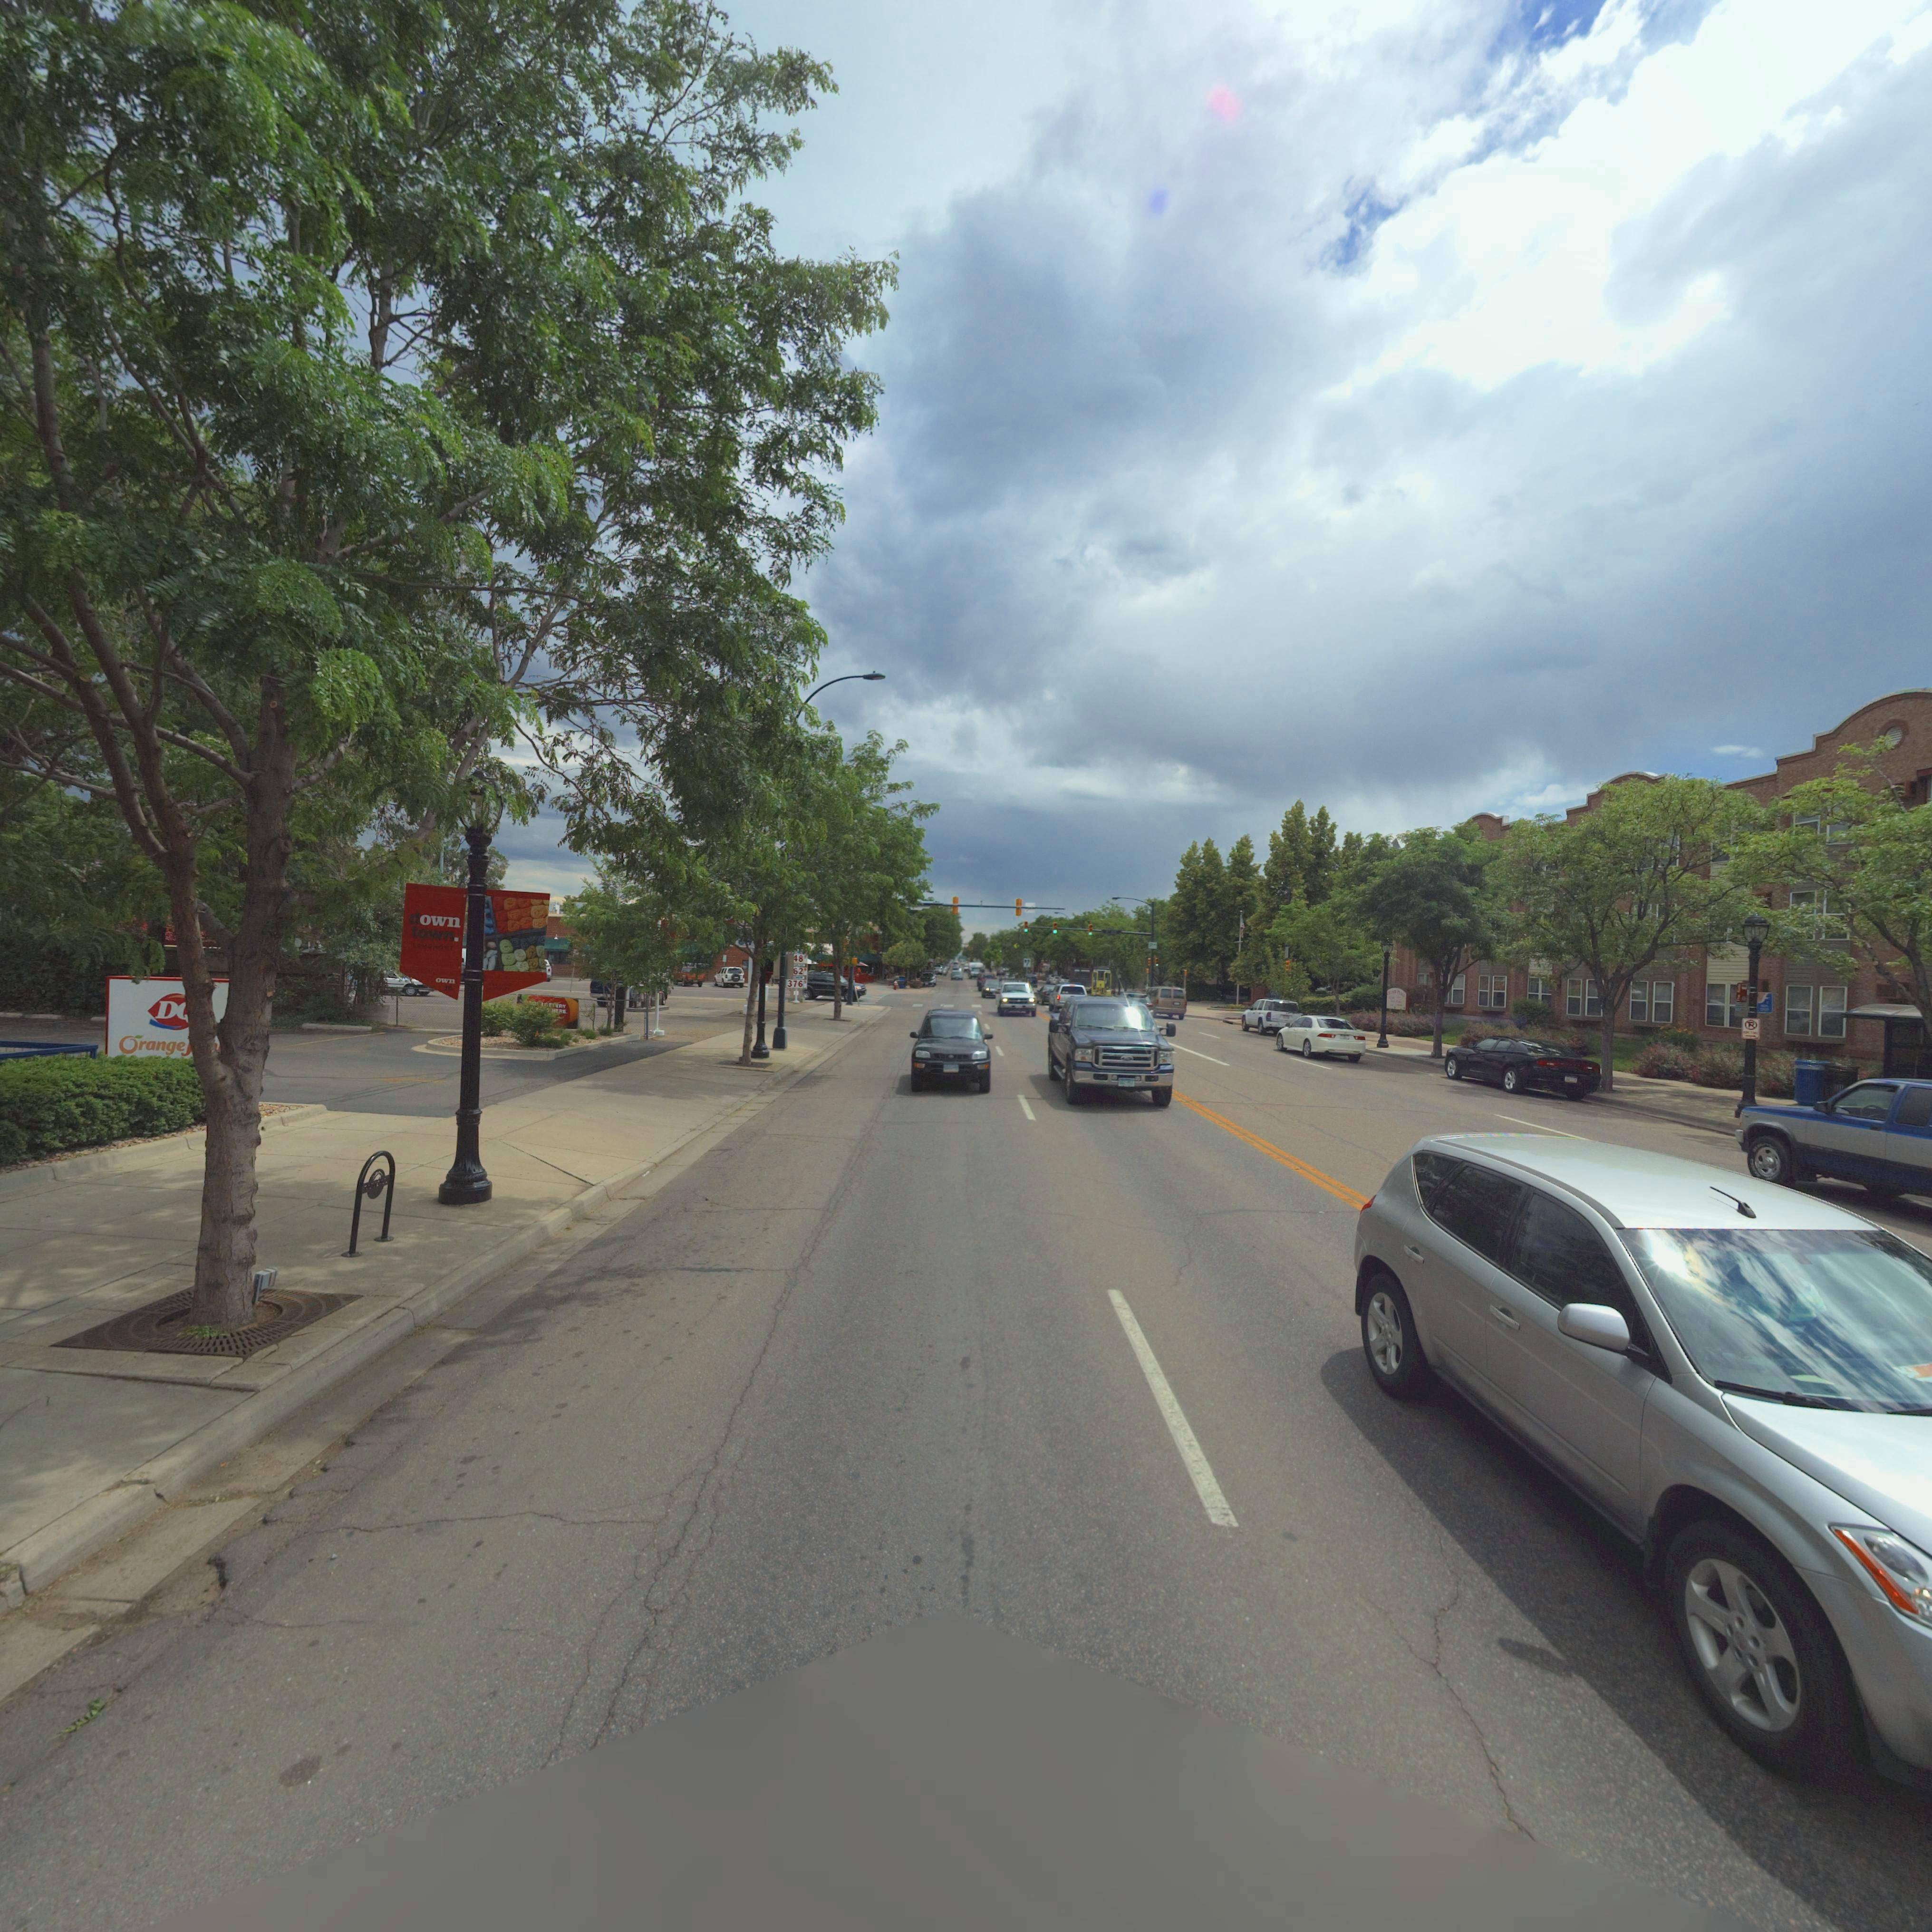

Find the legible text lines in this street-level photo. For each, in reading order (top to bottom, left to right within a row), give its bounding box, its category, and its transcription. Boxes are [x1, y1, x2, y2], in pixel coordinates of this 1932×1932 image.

[1388, 989, 1405, 996] BusinessName: *LL** PLAZA
[153, 999, 178, 1020] BusinessName: D
[118, 1034, 186, 1056] BusinessName: Orange